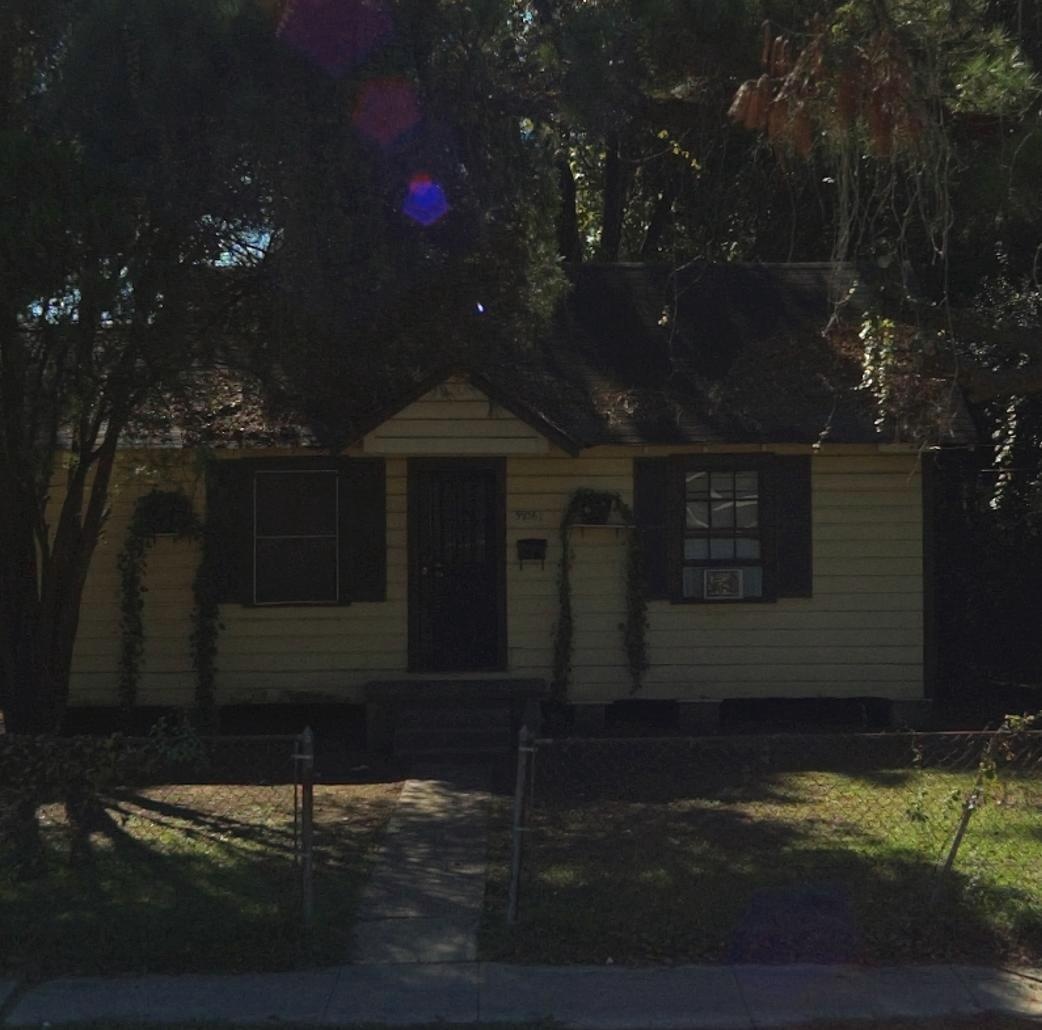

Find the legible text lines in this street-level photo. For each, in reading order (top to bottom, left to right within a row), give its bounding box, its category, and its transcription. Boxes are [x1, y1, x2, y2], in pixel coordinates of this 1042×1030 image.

[515, 509, 539, 521] StreetNumber: 5956